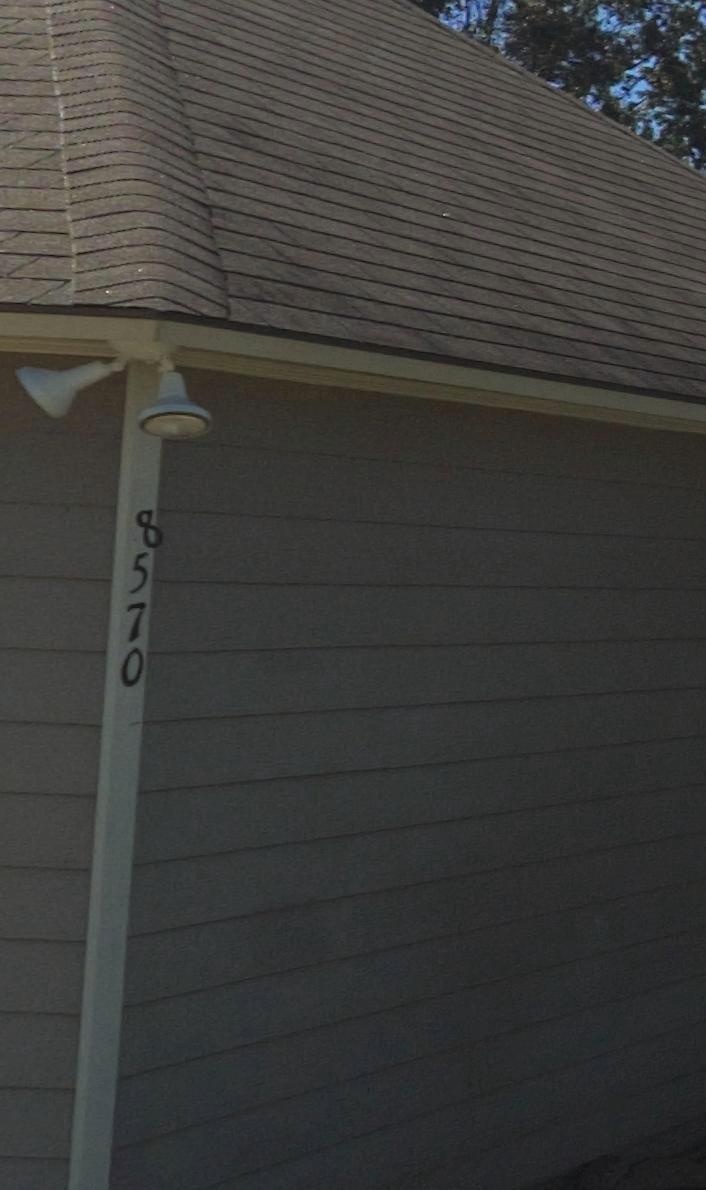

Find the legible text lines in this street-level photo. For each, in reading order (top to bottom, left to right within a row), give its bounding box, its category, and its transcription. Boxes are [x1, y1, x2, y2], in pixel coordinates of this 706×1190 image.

[112, 504, 168, 690] StreetNumber: 8570